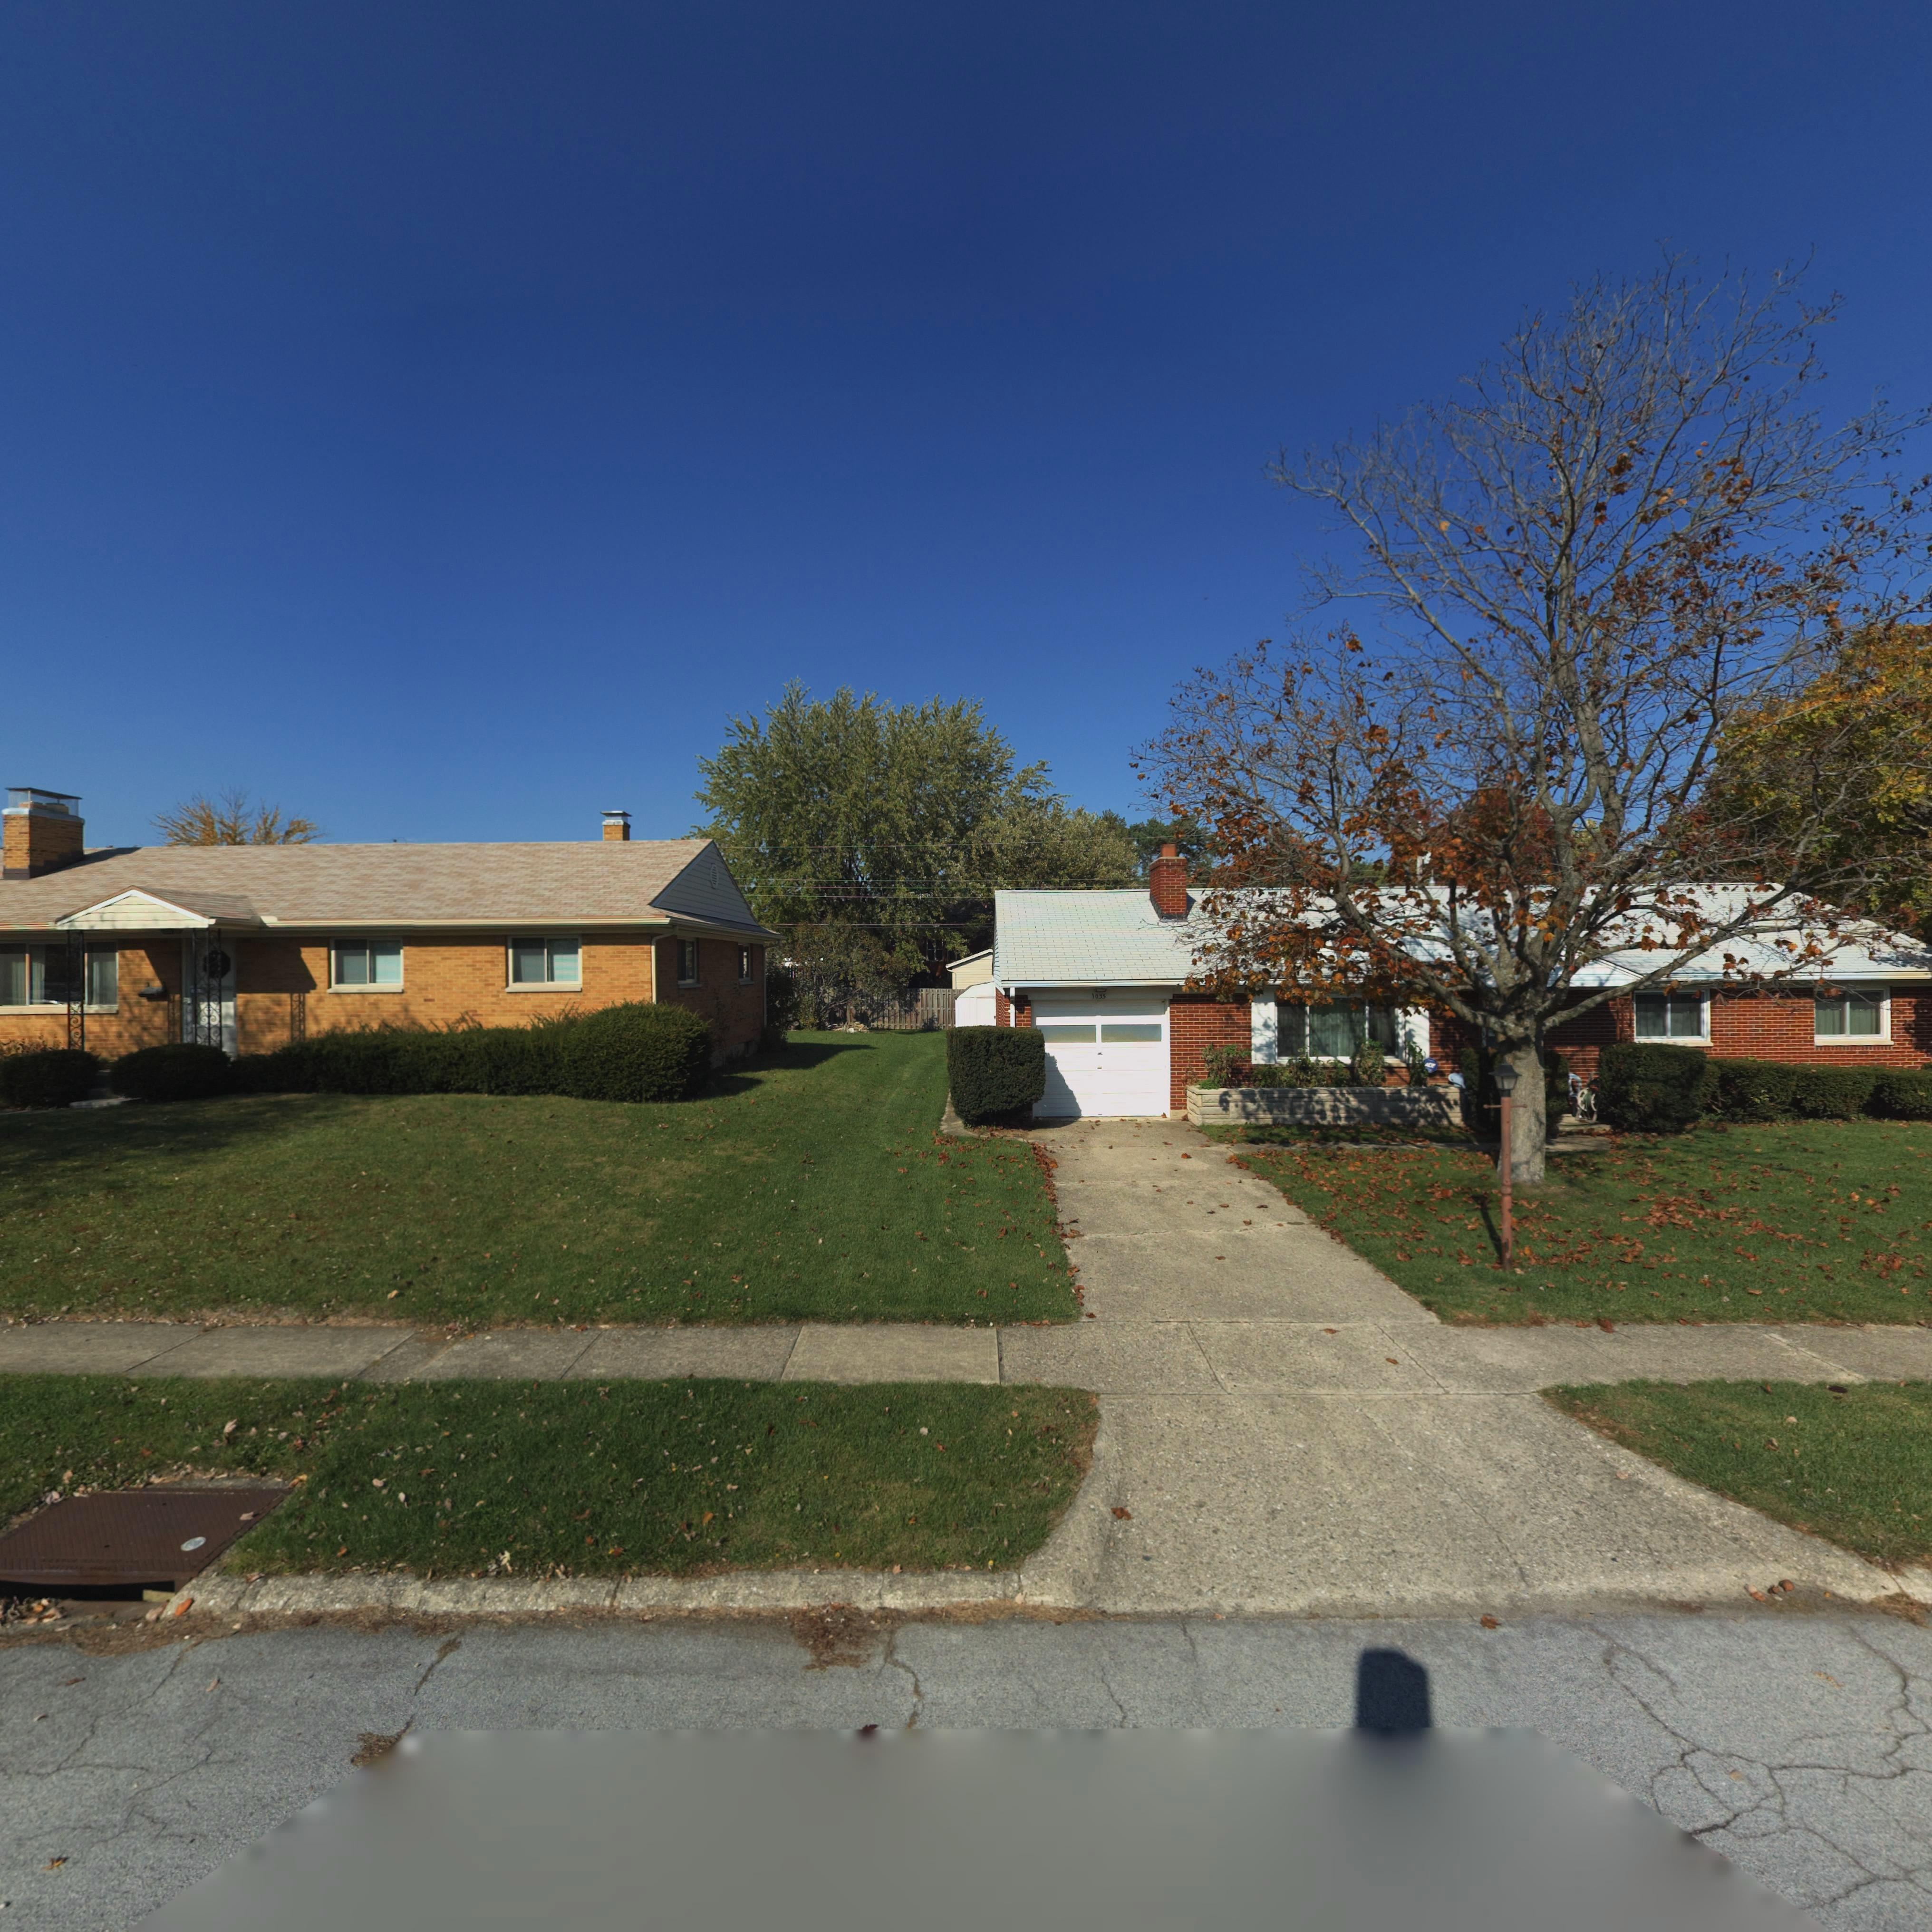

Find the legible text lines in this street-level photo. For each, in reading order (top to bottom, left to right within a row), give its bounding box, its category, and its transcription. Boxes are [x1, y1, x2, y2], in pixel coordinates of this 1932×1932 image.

[1091, 992, 1107, 1000] StreetNumber: 1035
[1423, 1060, 1438, 1071] None: ADT